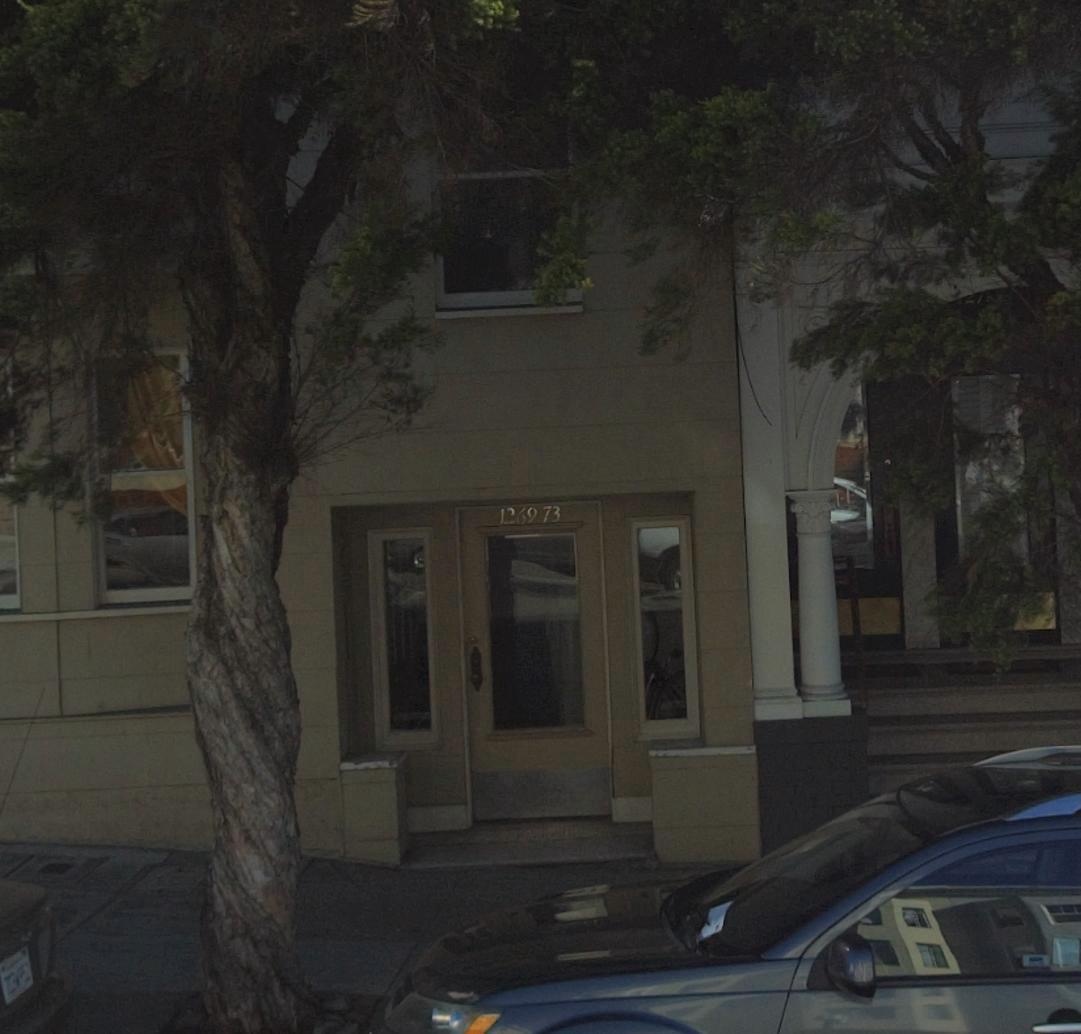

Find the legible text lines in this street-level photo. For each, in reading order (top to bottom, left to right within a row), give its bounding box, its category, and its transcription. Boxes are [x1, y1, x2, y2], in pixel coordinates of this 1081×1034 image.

[497, 504, 539, 526] StreetNumber: 1269
[541, 504, 562, 524] StreetNumber: 73